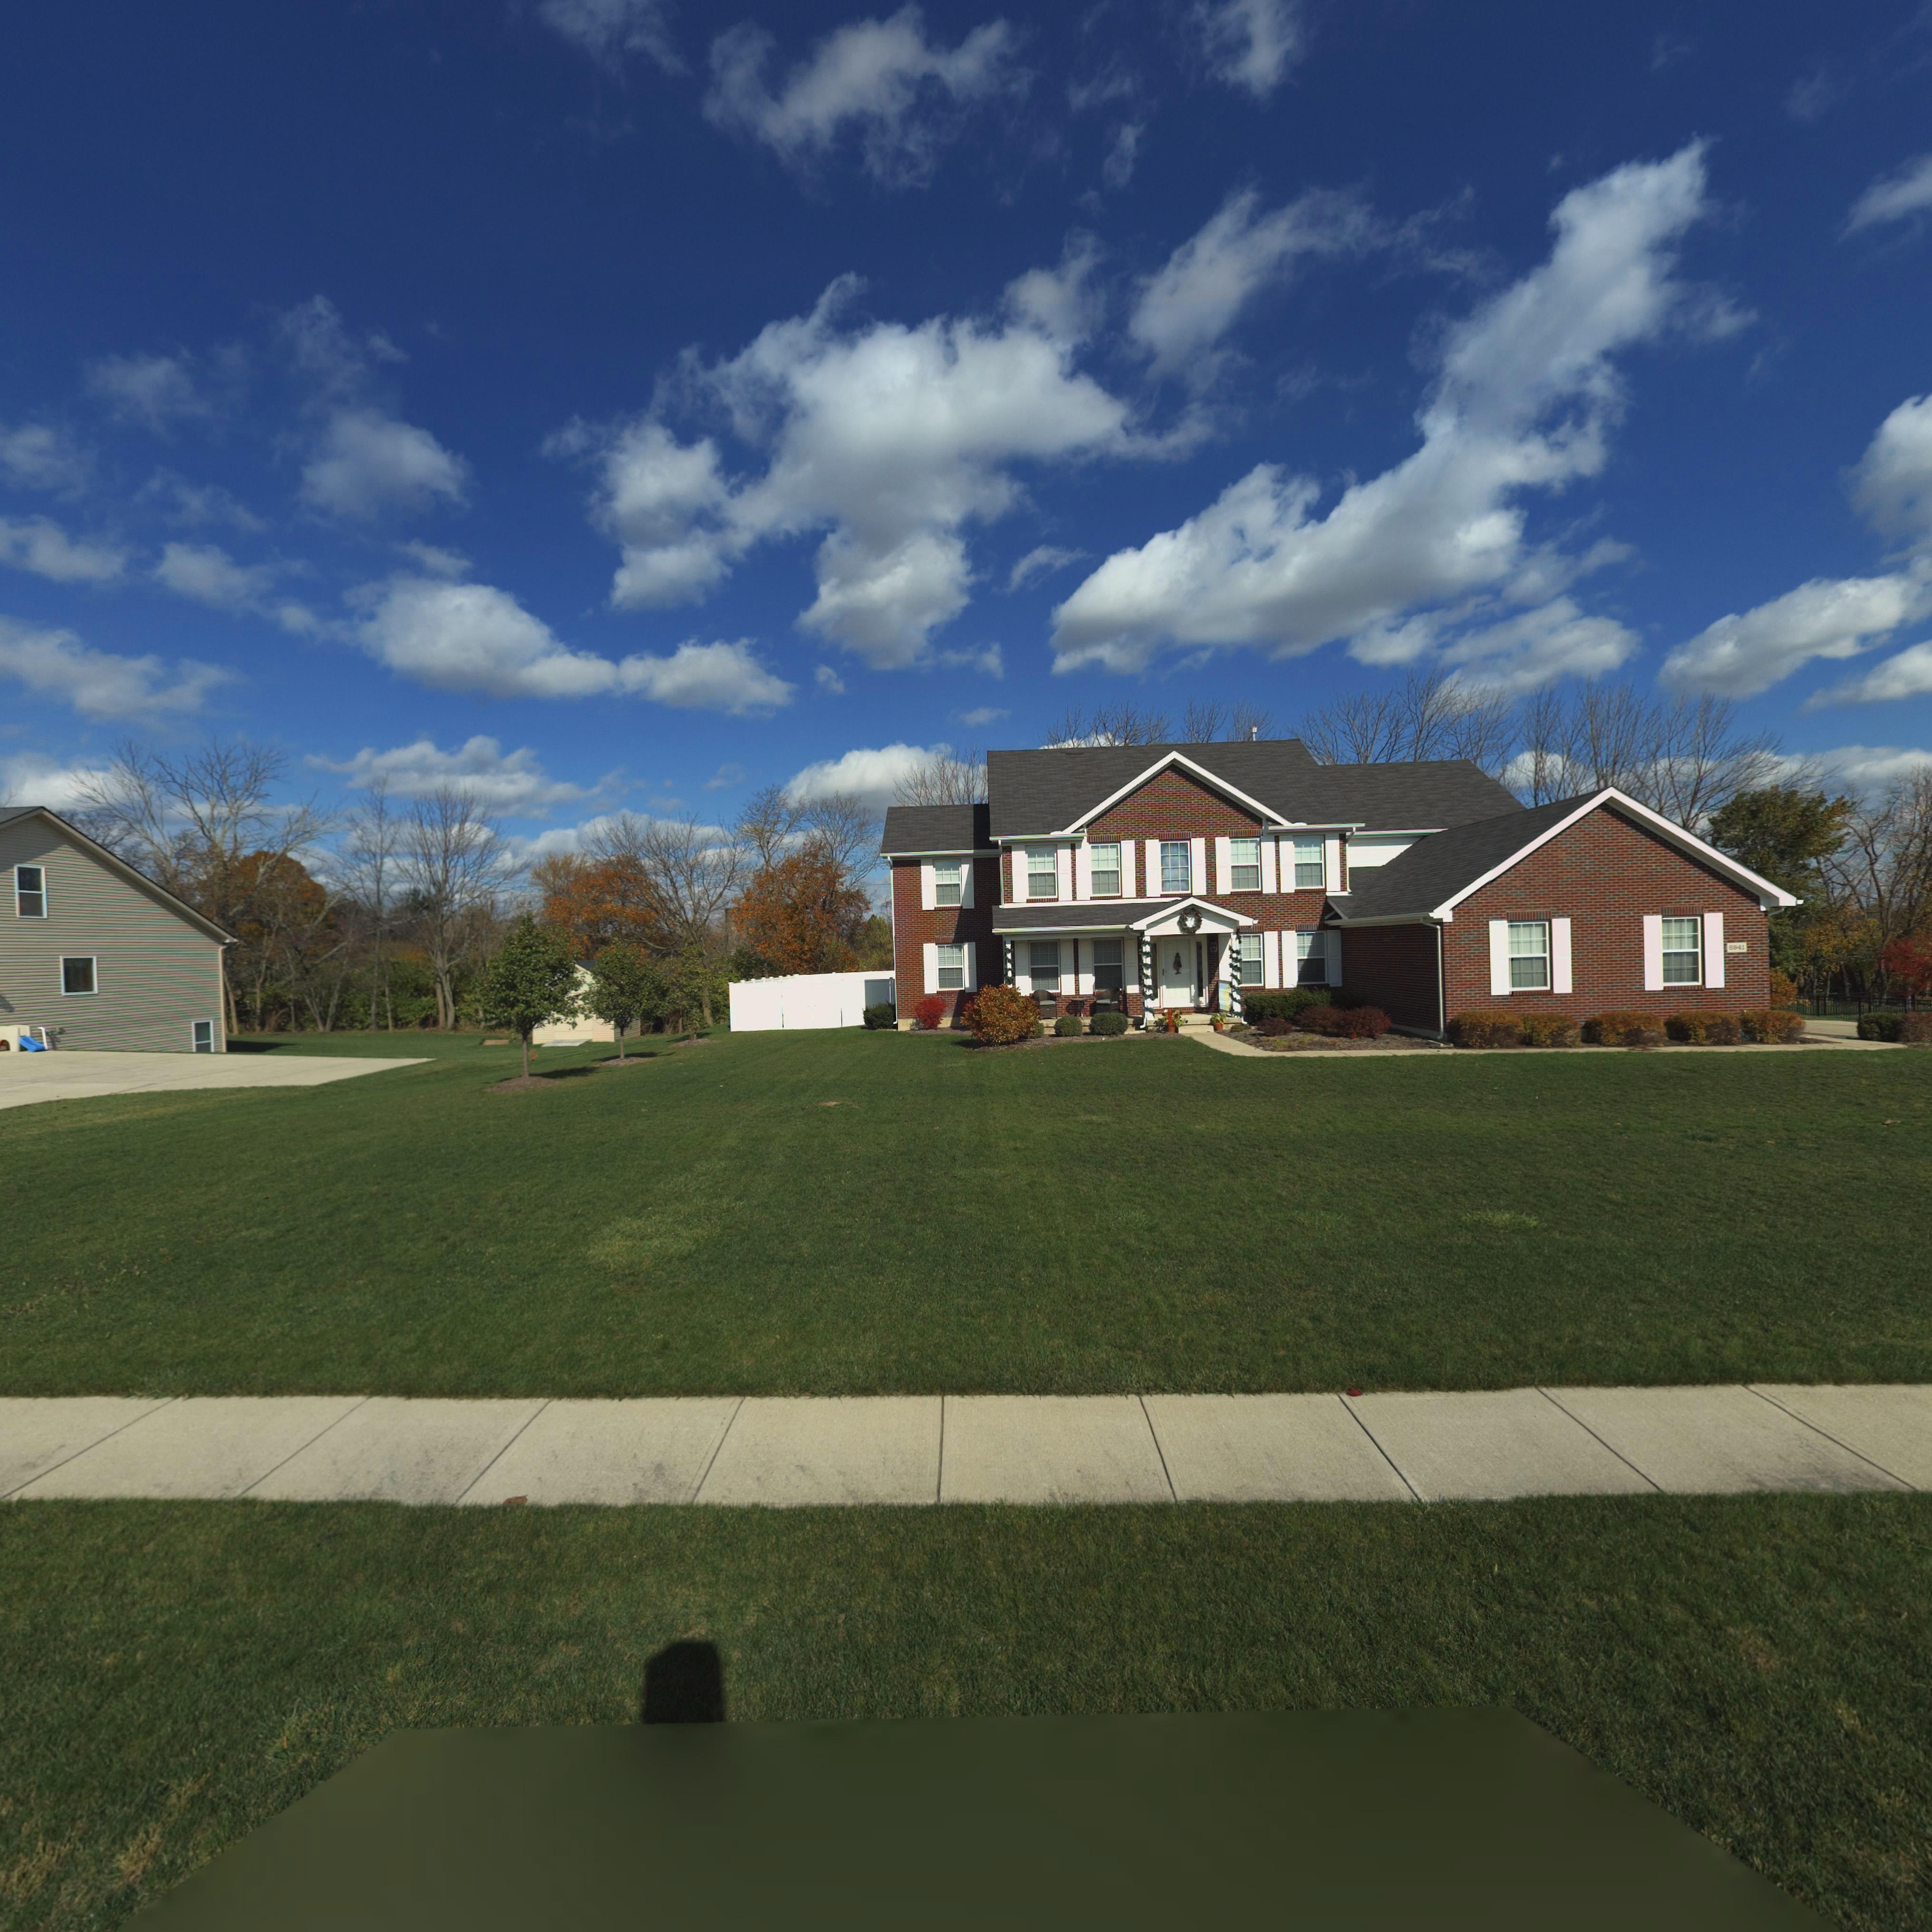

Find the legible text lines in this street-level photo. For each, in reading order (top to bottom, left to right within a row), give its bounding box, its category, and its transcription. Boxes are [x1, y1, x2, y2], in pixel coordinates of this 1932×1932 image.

[1729, 944, 1745, 950] StreetNumber: 6*41